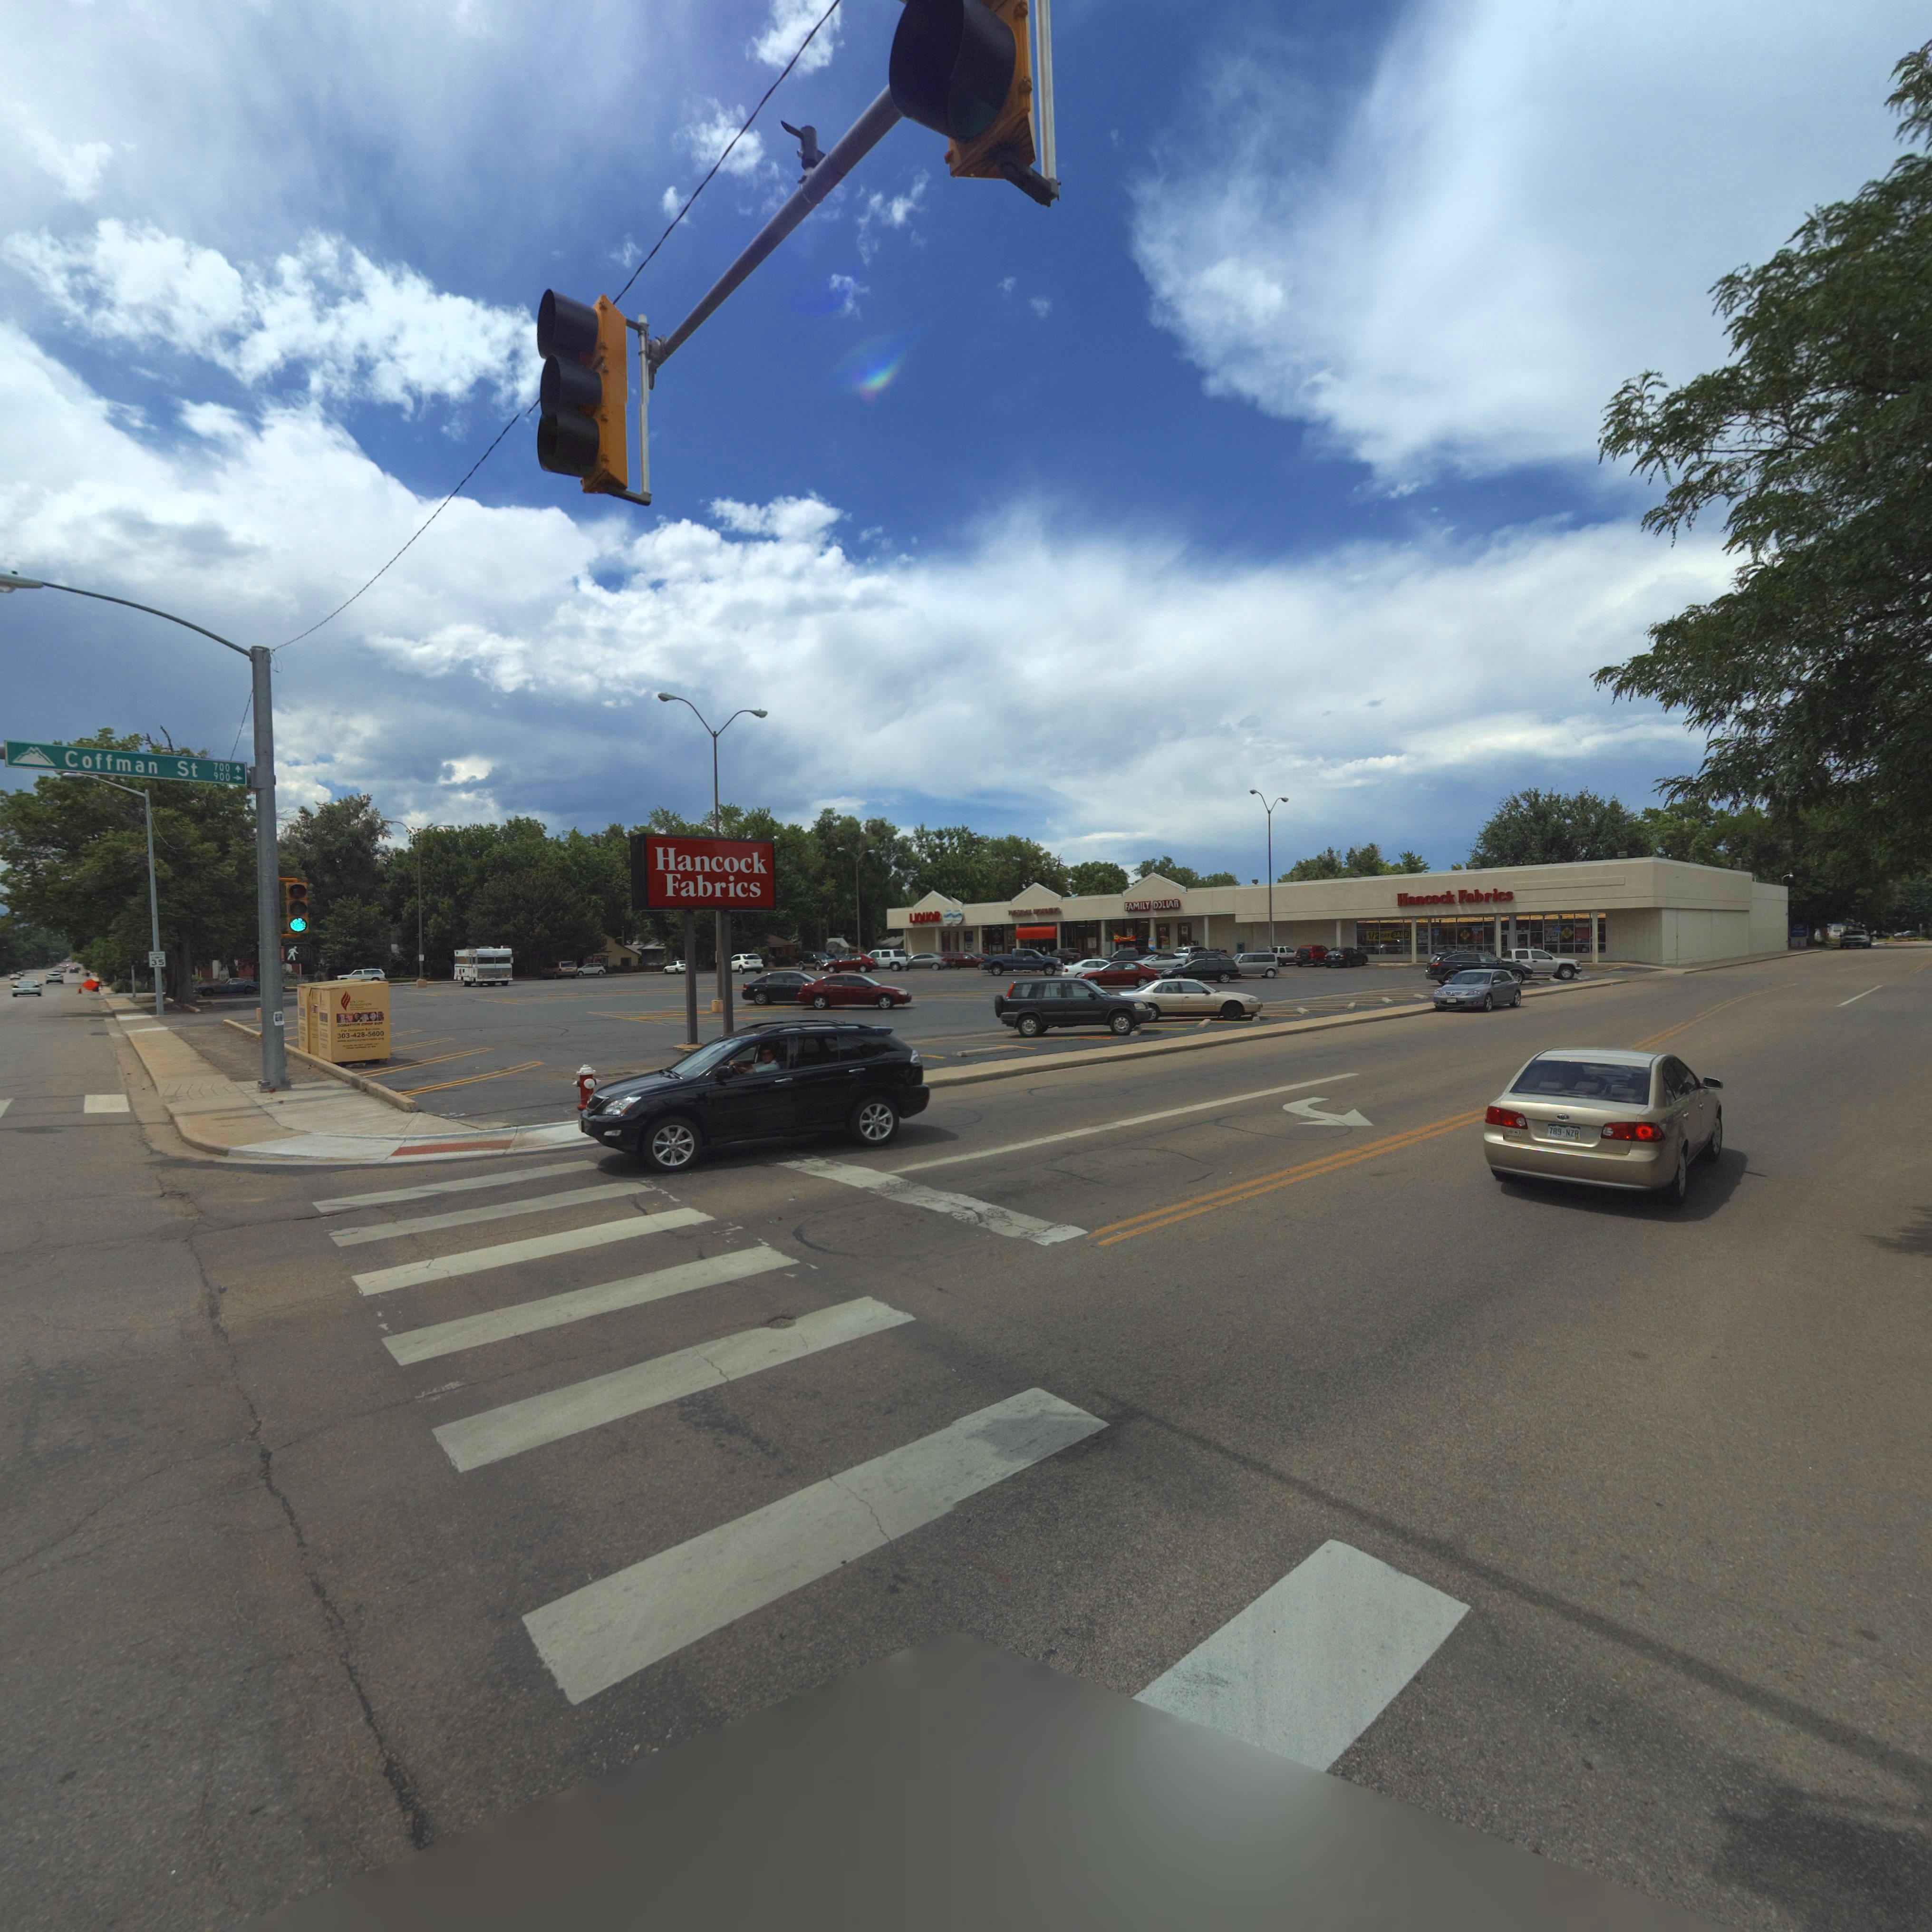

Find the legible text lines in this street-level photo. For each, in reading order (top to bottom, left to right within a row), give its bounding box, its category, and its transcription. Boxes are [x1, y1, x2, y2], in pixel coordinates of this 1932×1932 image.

[64, 749, 198, 778] StreetName: Coffman St
[213, 762, 230, 772] StreetNumberRange: 700
[213, 772, 242, 782] StreetNumberRange: 900 ->
[656, 847, 767, 874] BusinessName: Hancock
[664, 873, 761, 898] BusinessName: Fabrics
[1007, 907, 1062, 916] BusinessName: T****** *******
[1125, 899, 1179, 910] BusinessName: FAMILY DOLLAR
[1397, 888, 1513, 906] BusinessName: Hancock Fabrics